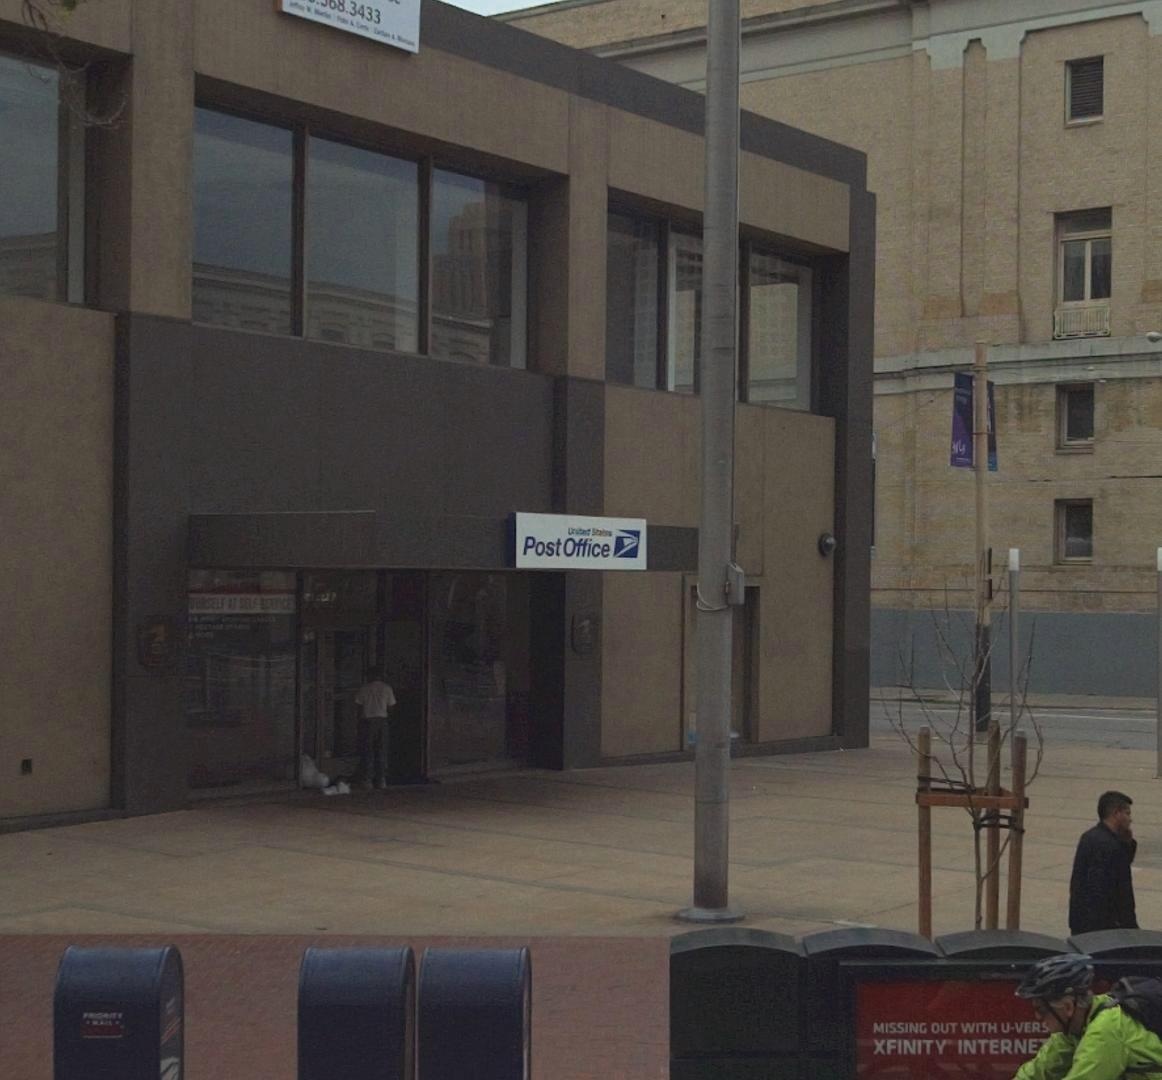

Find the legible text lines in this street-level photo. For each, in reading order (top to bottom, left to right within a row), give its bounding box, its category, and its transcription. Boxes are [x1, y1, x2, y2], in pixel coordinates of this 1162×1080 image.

[347, 0, 384, 28] None: 3433
[519, 533, 613, 561] BusinessName: Post Office
[871, 1019, 1043, 1036] None: MISSING OUT WITH U-VER
[871, 1036, 1041, 1058] None: XFINITY INTERNE